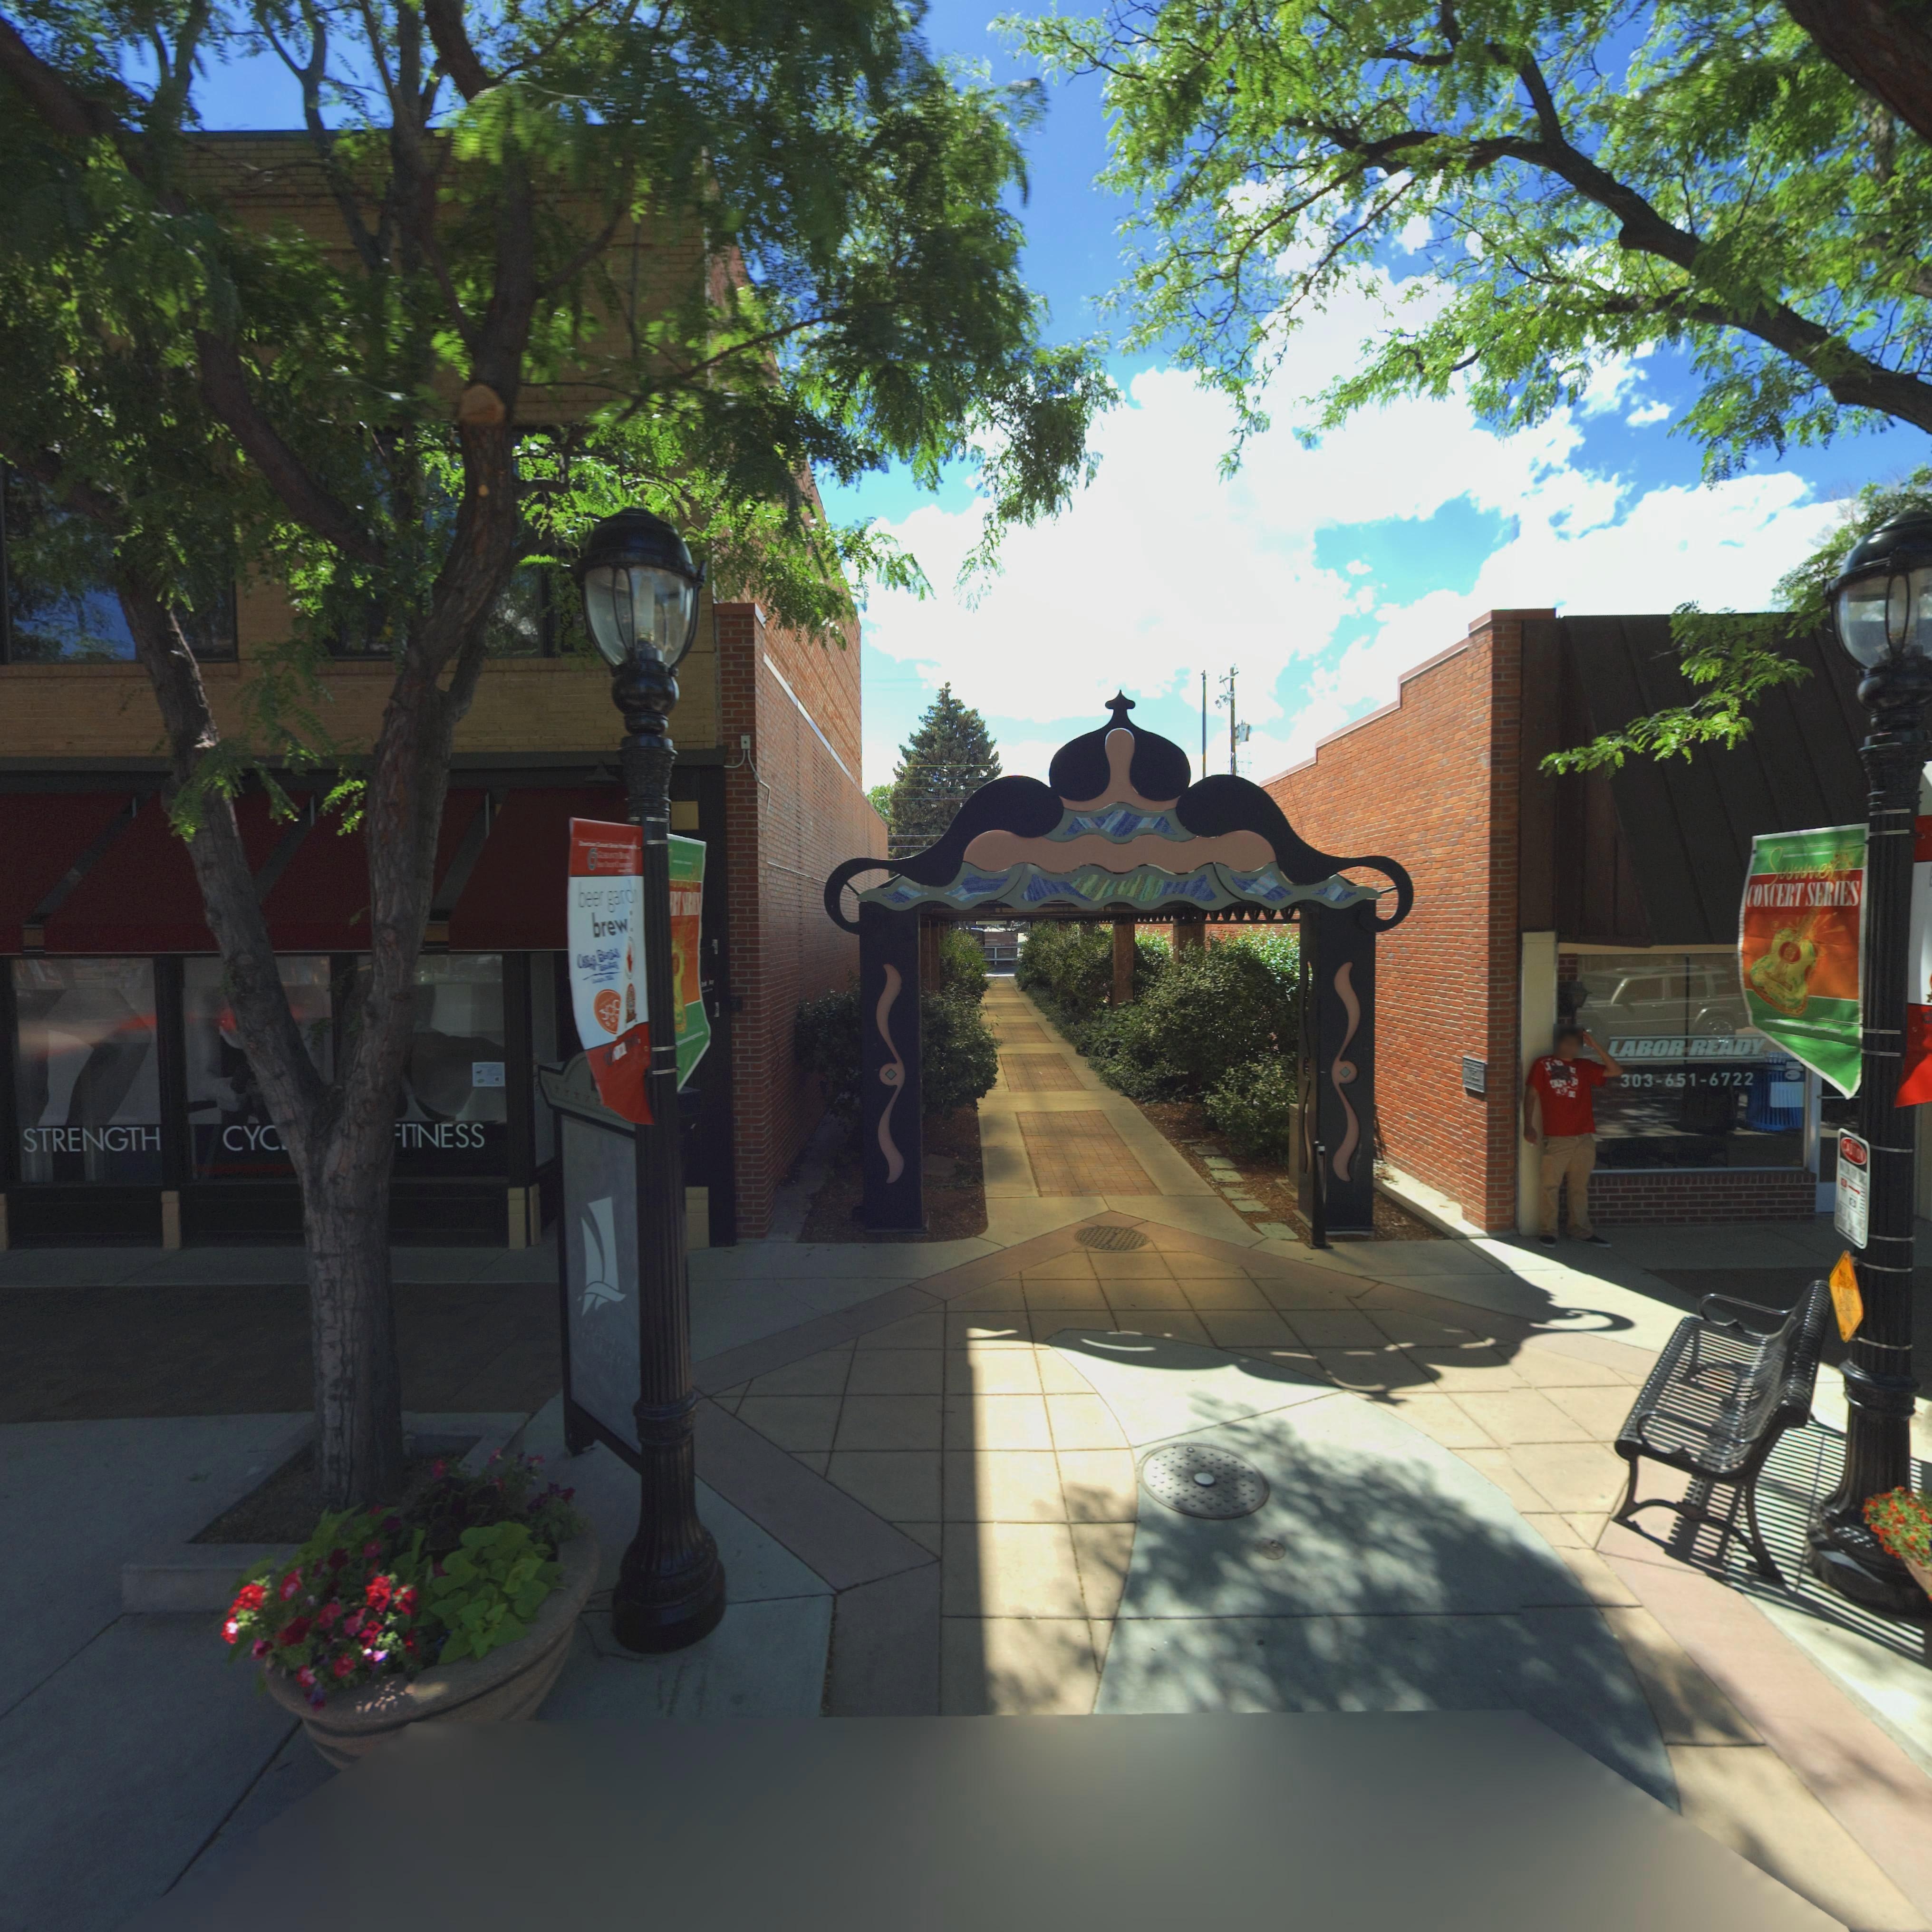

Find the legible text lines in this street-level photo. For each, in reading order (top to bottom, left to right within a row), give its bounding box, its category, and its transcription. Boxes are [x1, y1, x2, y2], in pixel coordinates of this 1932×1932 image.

[1606, 1037, 1768, 1058] BusinessName: LABOR READY